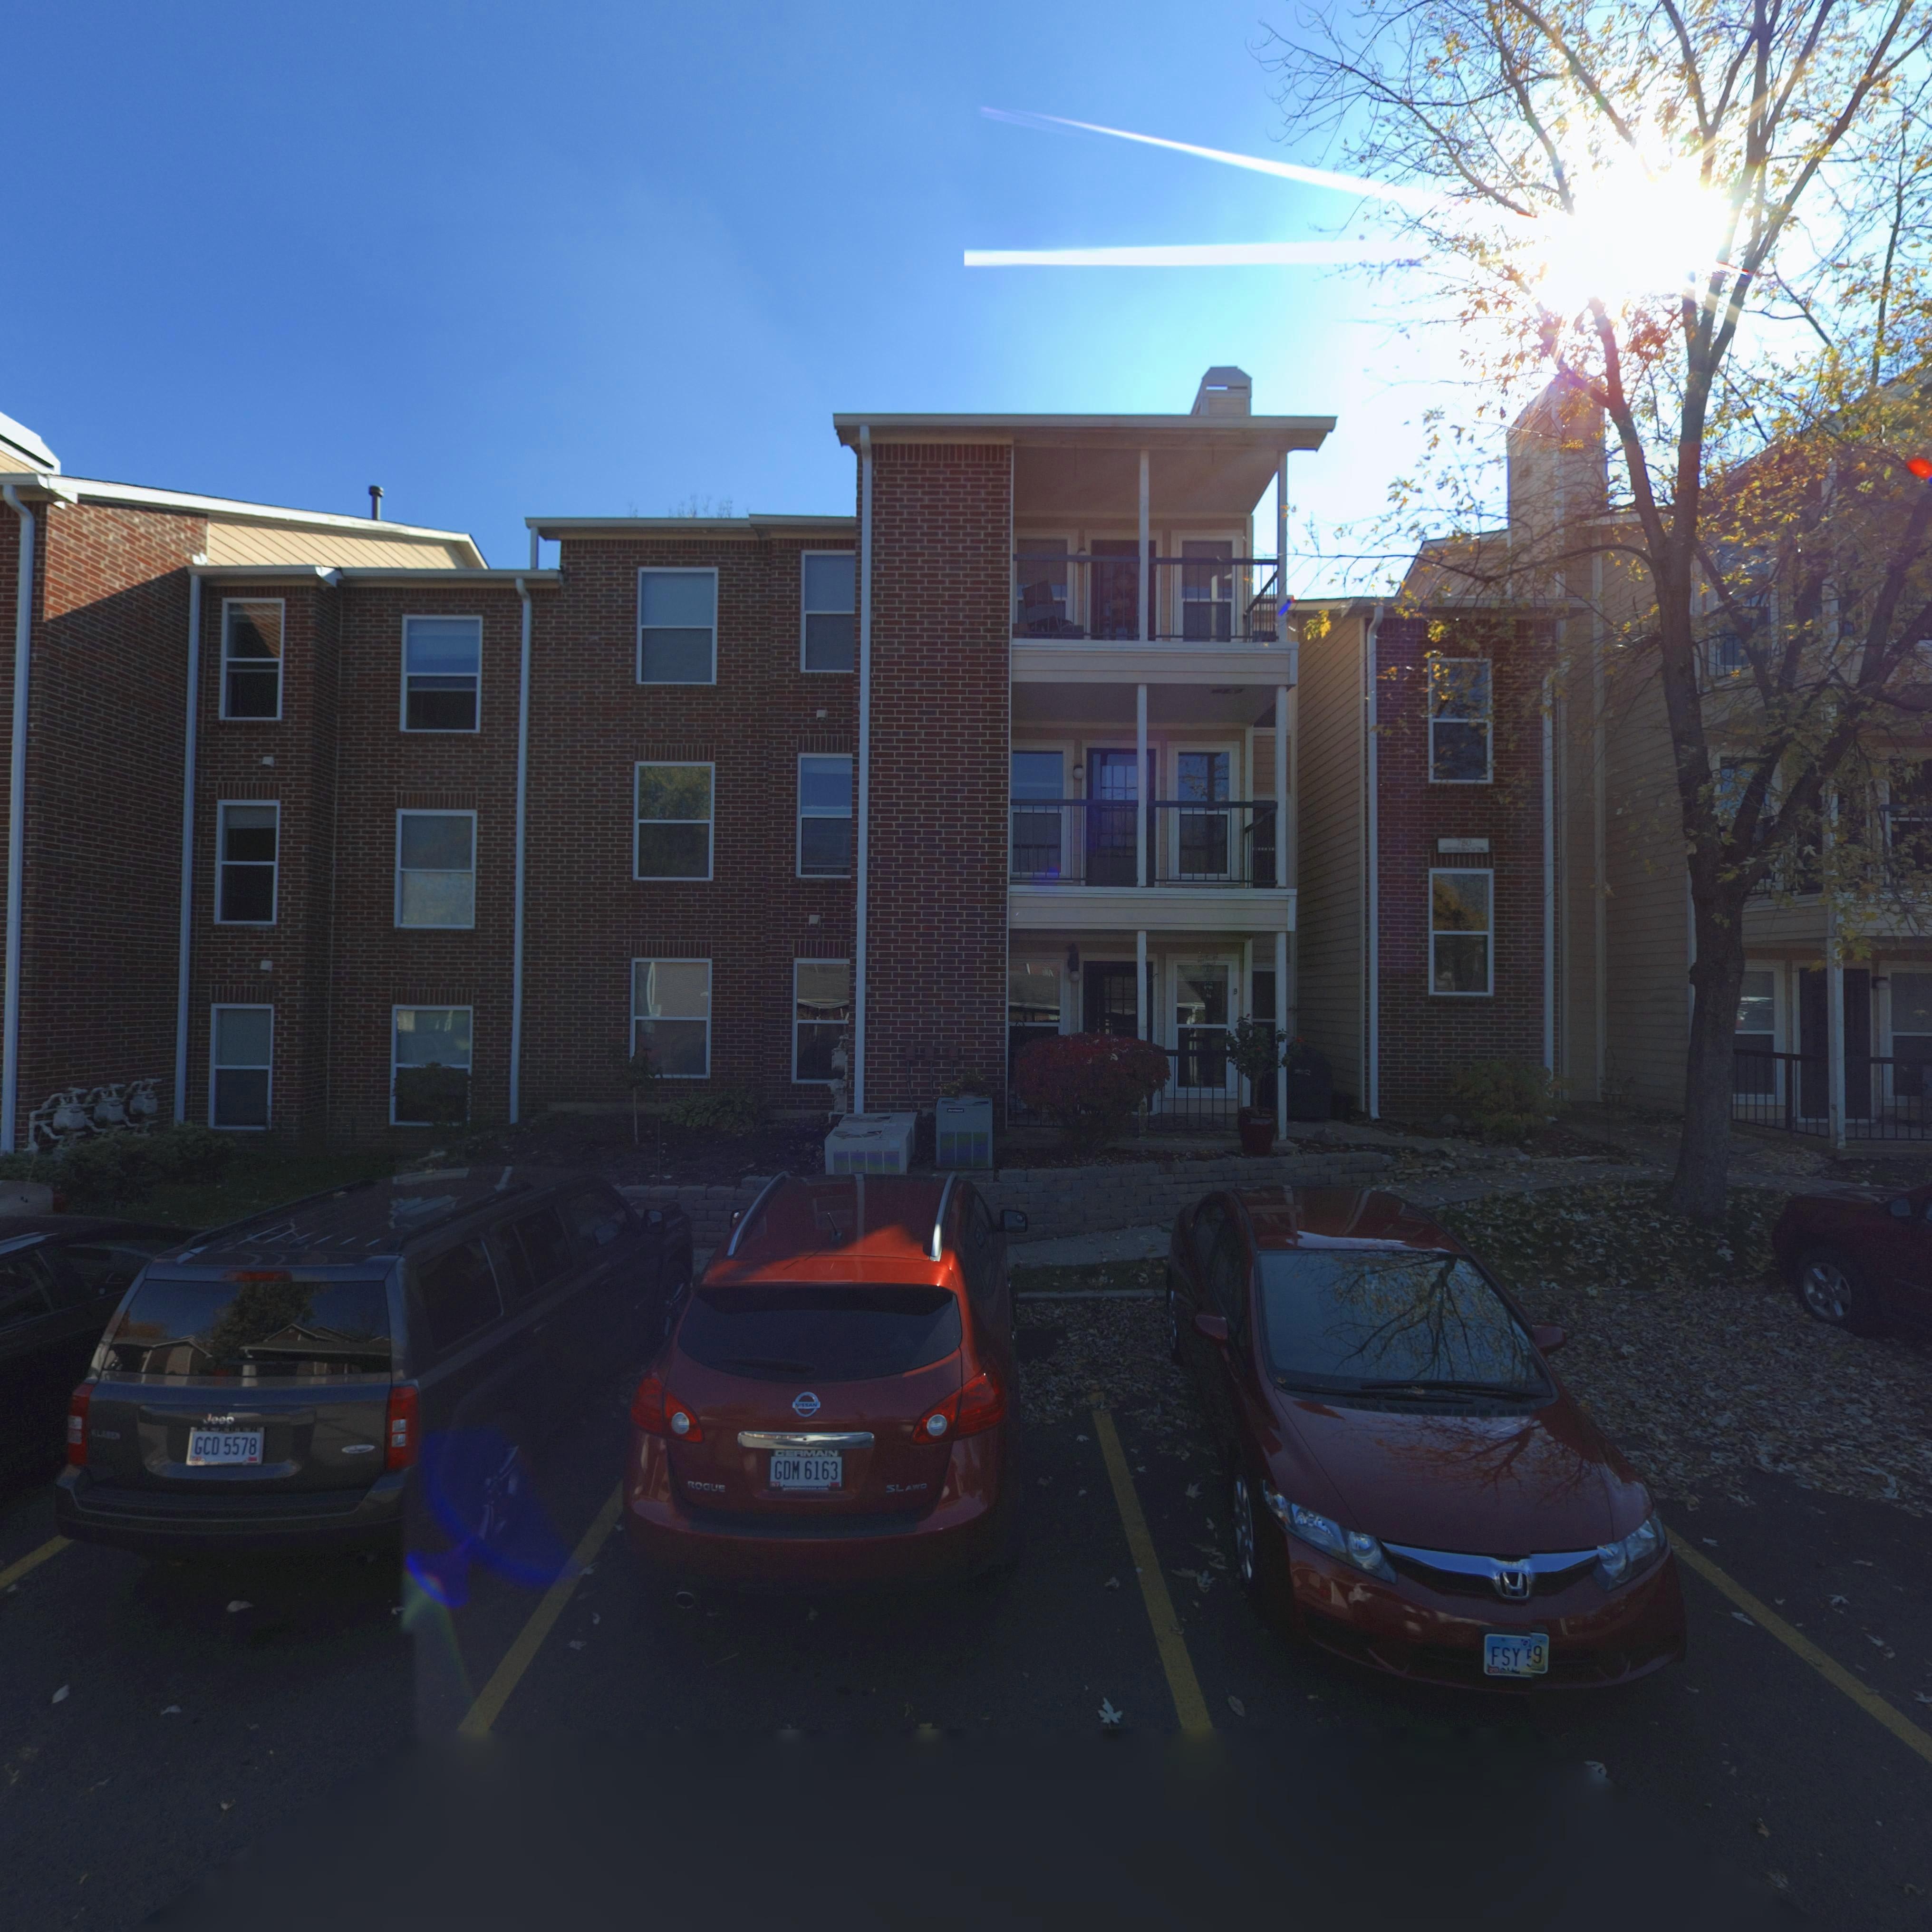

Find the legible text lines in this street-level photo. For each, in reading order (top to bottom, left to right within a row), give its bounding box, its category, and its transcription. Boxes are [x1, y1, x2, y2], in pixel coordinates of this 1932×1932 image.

[201, 1410, 237, 1429] None: Jeep
[192, 1434, 259, 1457] None: GCD 5578
[773, 1447, 840, 1459] None: GERMAN
[773, 1458, 840, 1482] None: GDM 6163
[686, 1478, 727, 1495] None: ROGUE
[884, 1481, 928, 1494] None: SL AWD
[1489, 1643, 1523, 1670] None: FSY
[1531, 1644, 1544, 1666] None: 9